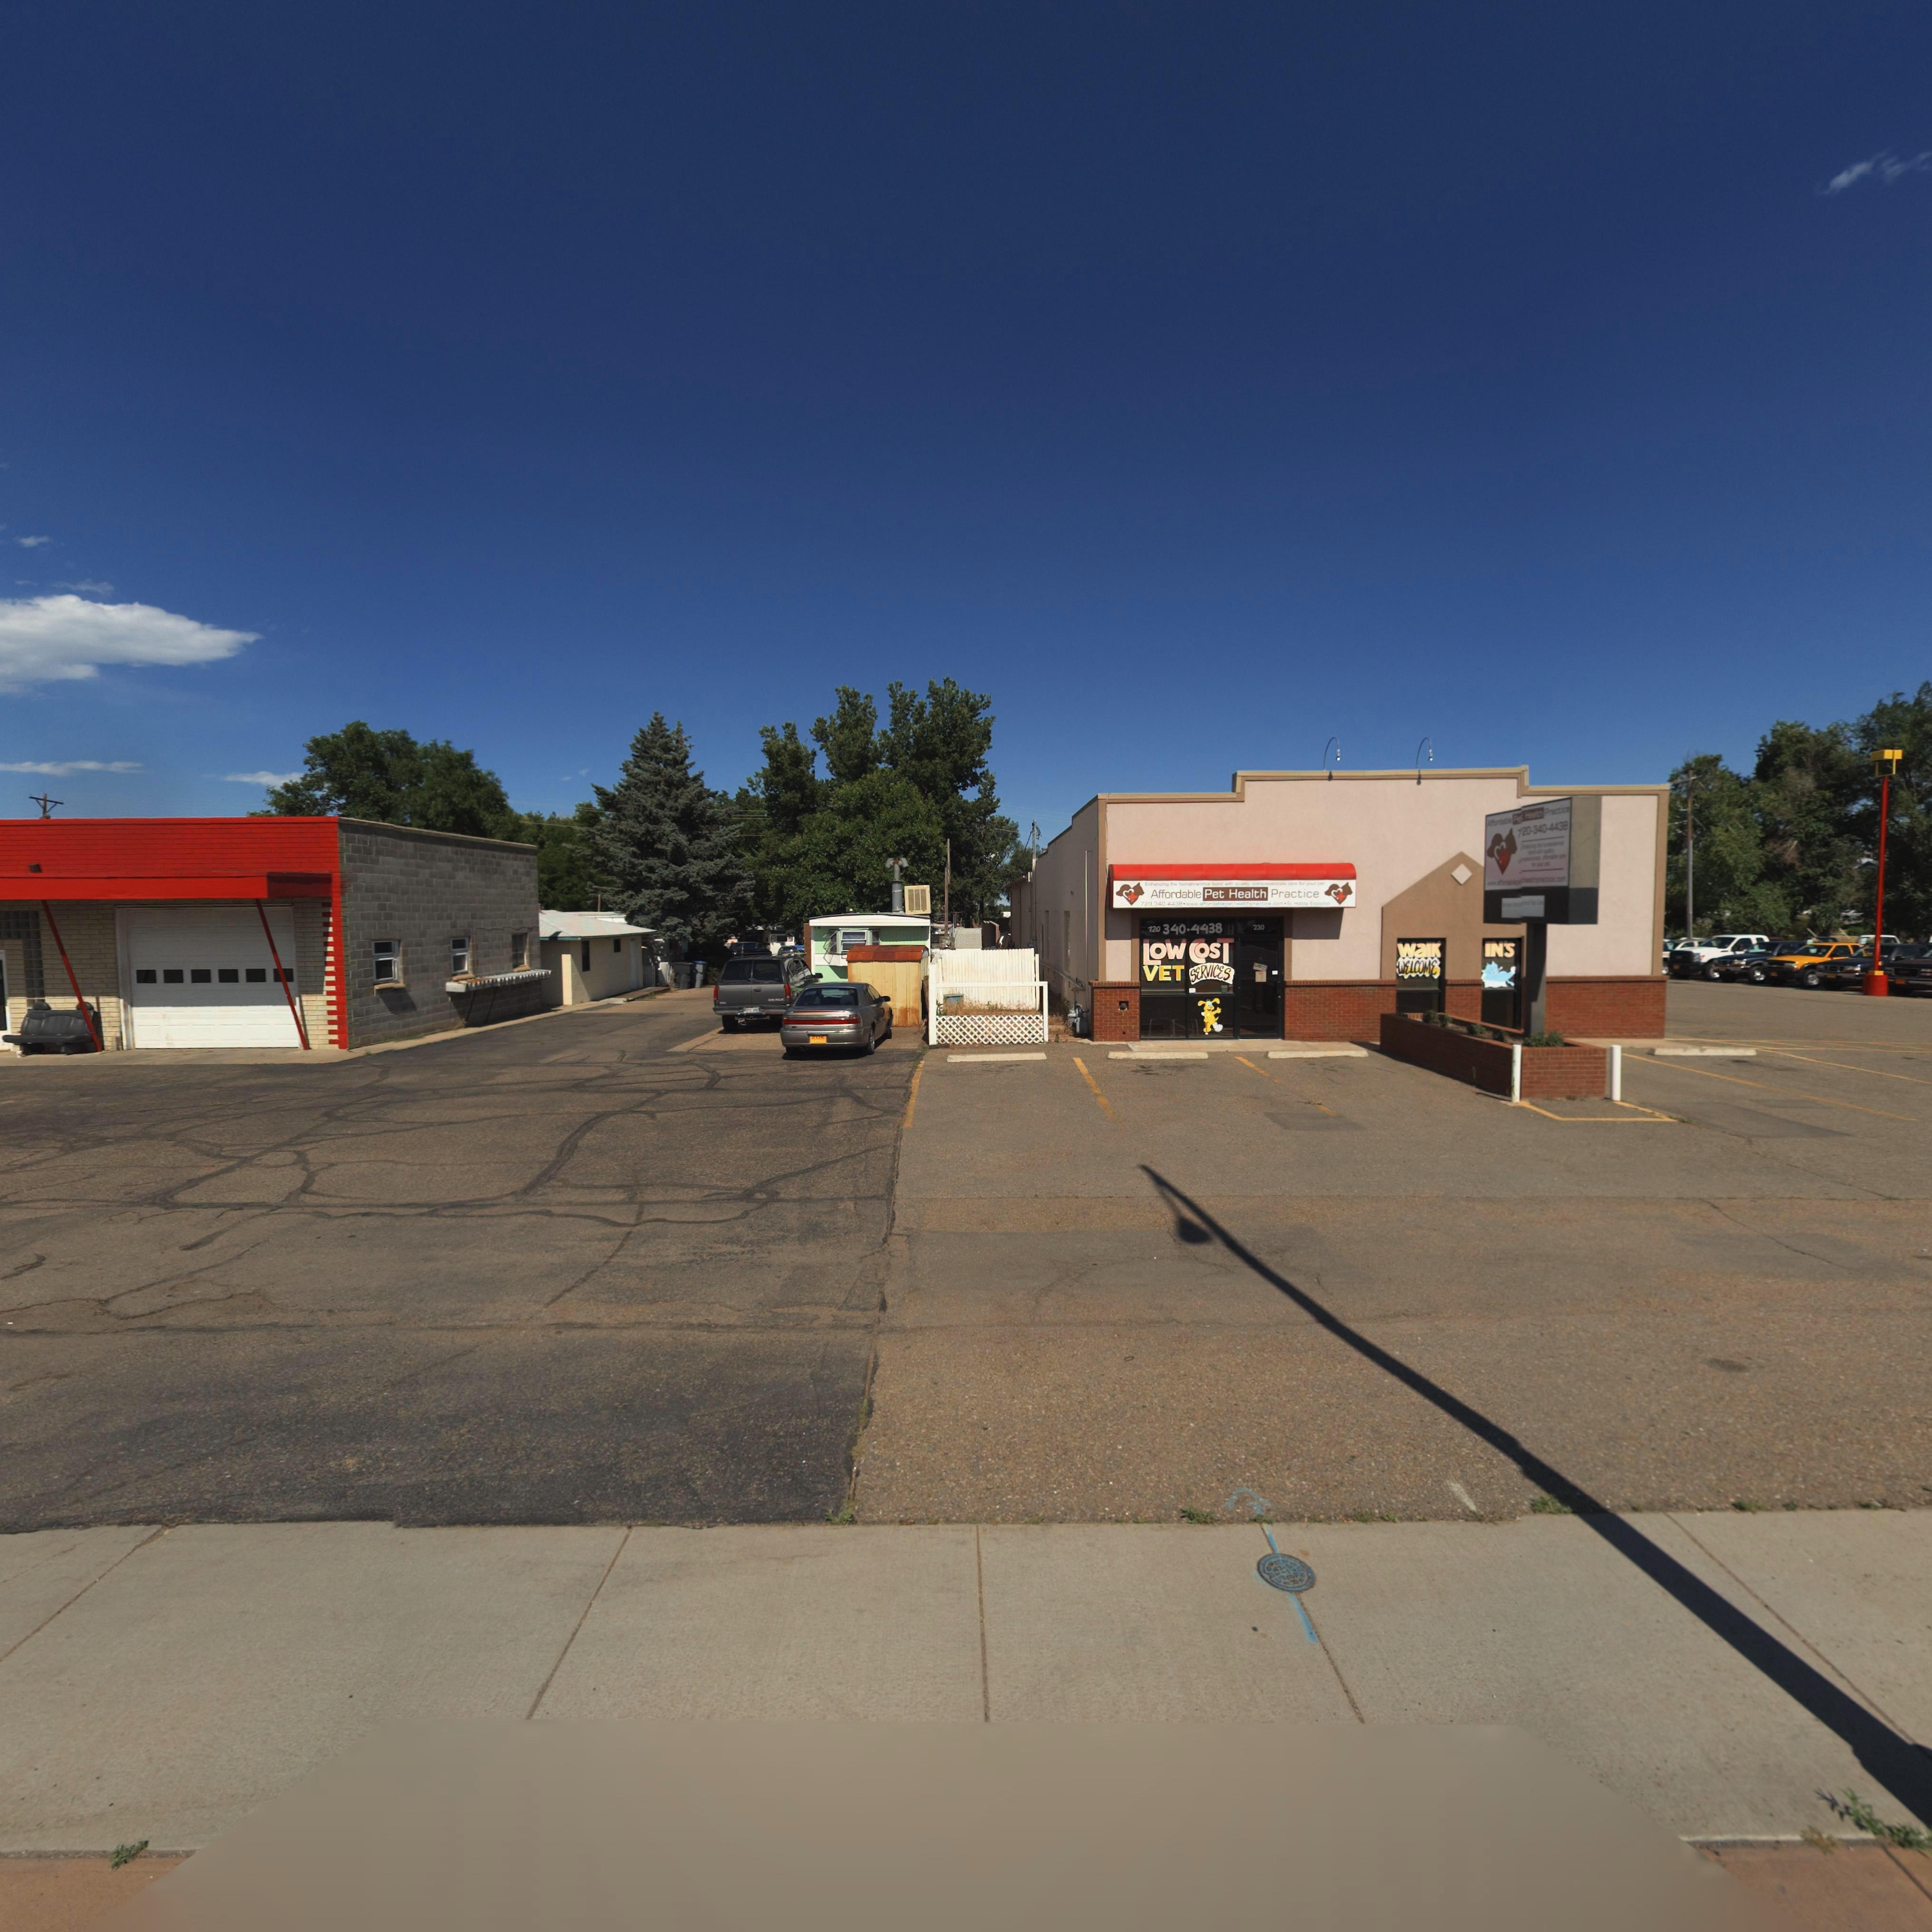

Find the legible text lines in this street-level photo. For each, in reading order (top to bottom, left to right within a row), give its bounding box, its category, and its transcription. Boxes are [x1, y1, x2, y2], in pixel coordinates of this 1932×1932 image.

[1486, 805, 1570, 827] BusinessName: Affordable Pet Health Practice
[1150, 888, 1320, 899] BusinessName: Affordable Pet Health Practice
[1253, 924, 1265, 930] StreetNumber: 230
[811, 1035, 824, 1039] BusinessName: ZOE